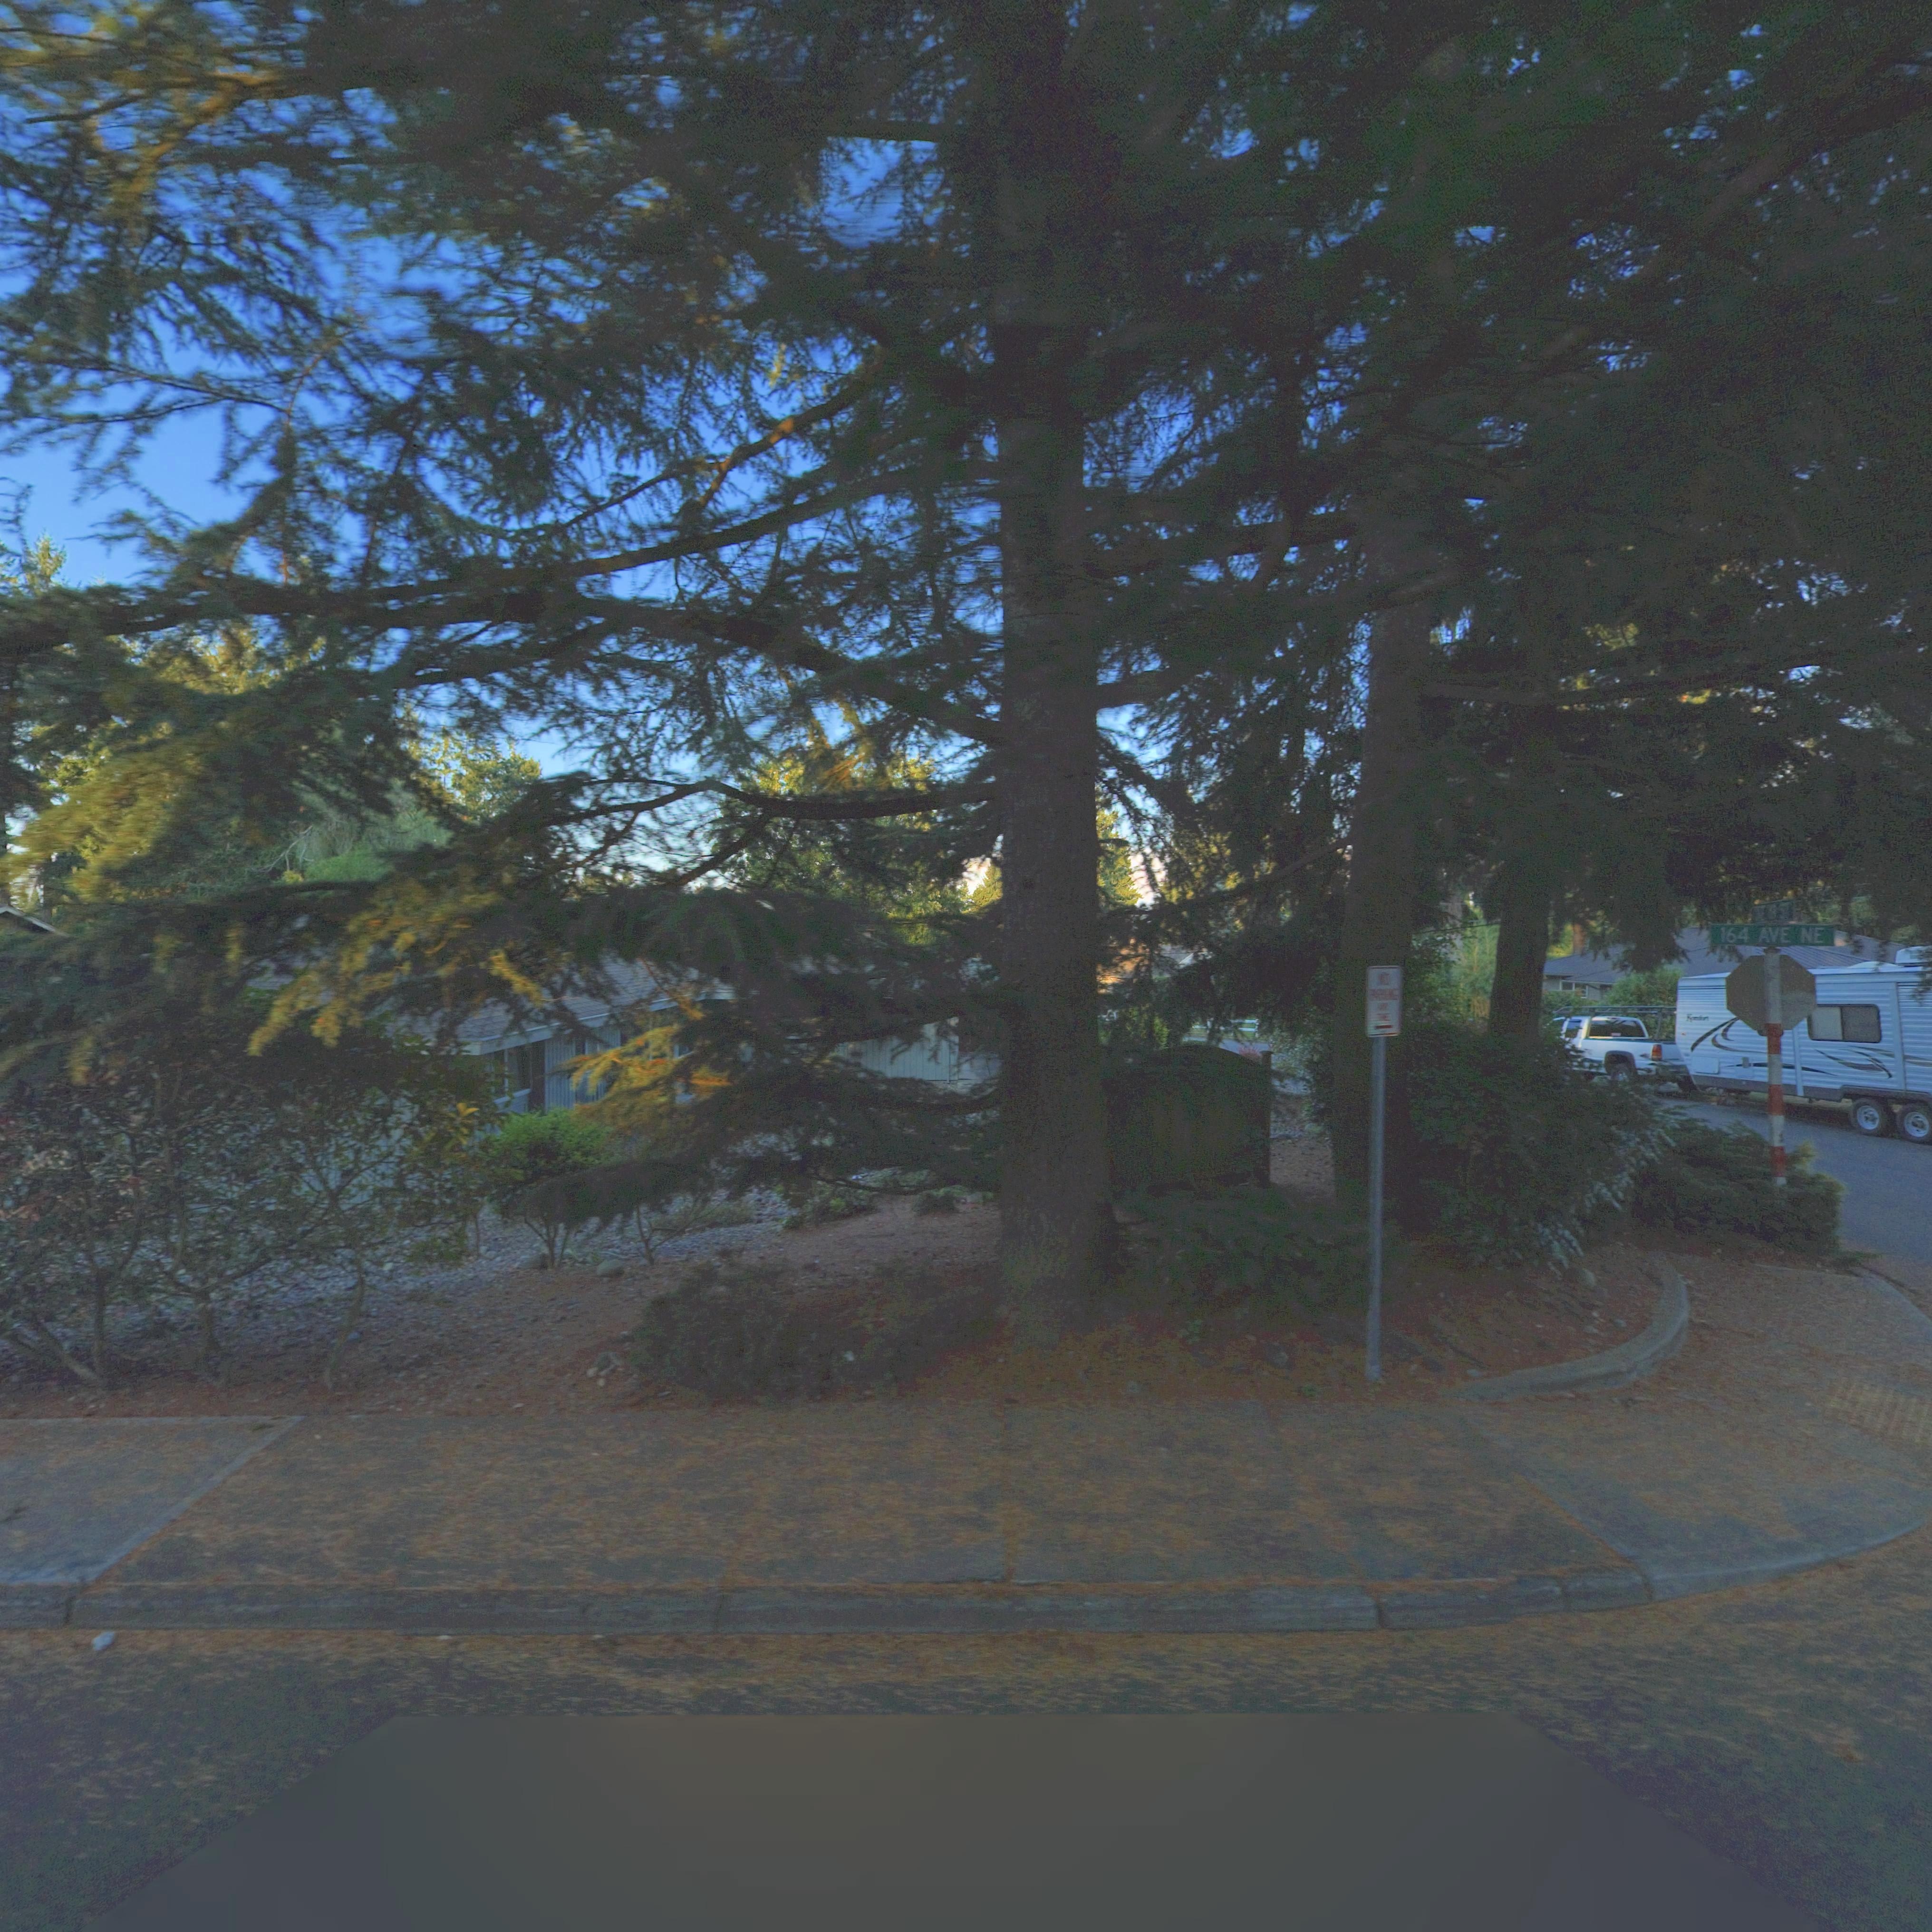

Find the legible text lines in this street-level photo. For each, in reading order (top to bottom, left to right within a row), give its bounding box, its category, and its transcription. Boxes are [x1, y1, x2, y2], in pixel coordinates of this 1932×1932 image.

[1720, 927, 1823, 943] StreetName: 164 AVE NE